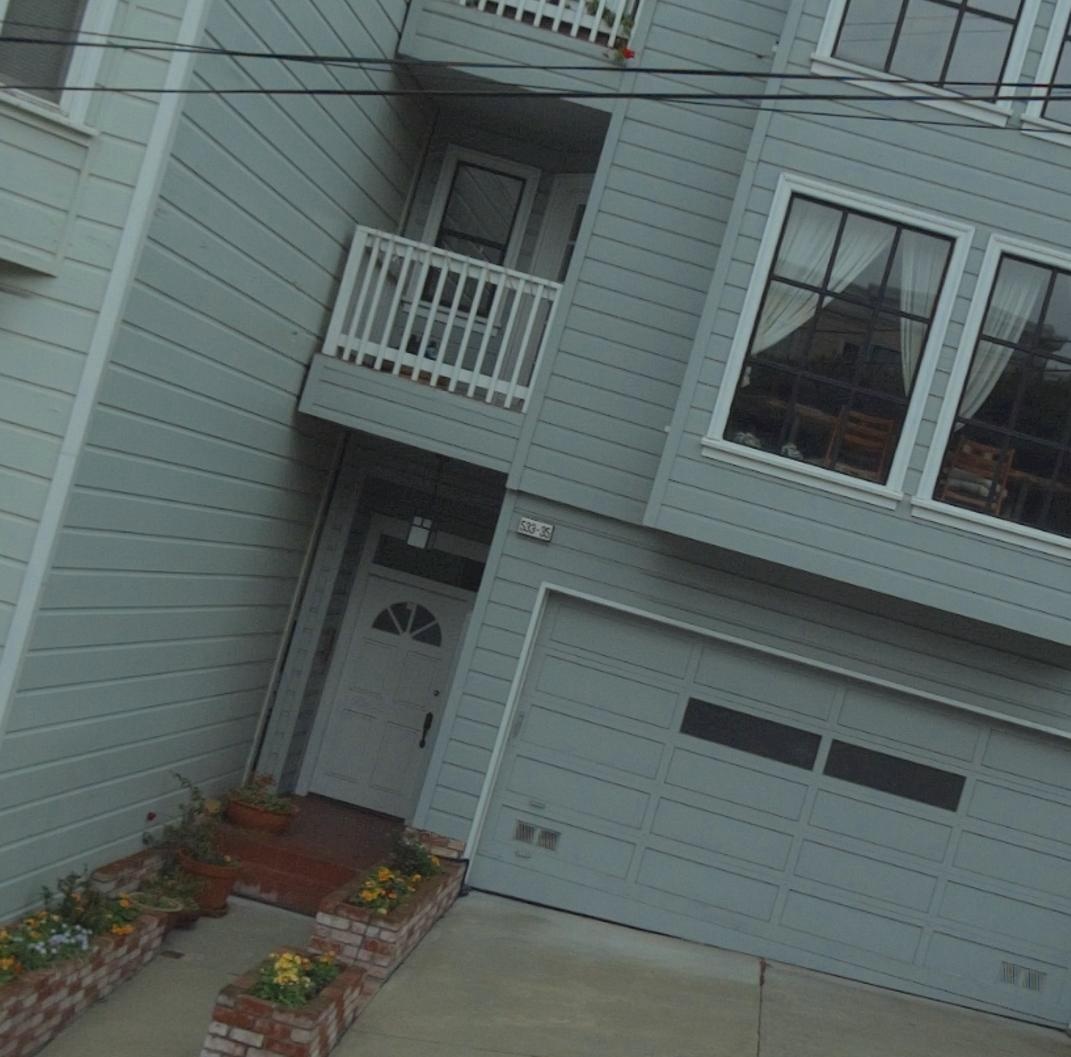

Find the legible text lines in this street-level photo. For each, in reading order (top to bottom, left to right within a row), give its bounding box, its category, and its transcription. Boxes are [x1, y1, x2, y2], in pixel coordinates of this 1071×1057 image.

[519, 520, 537, 535] StreetNumber: 533
[538, 525, 552, 540] None: 35